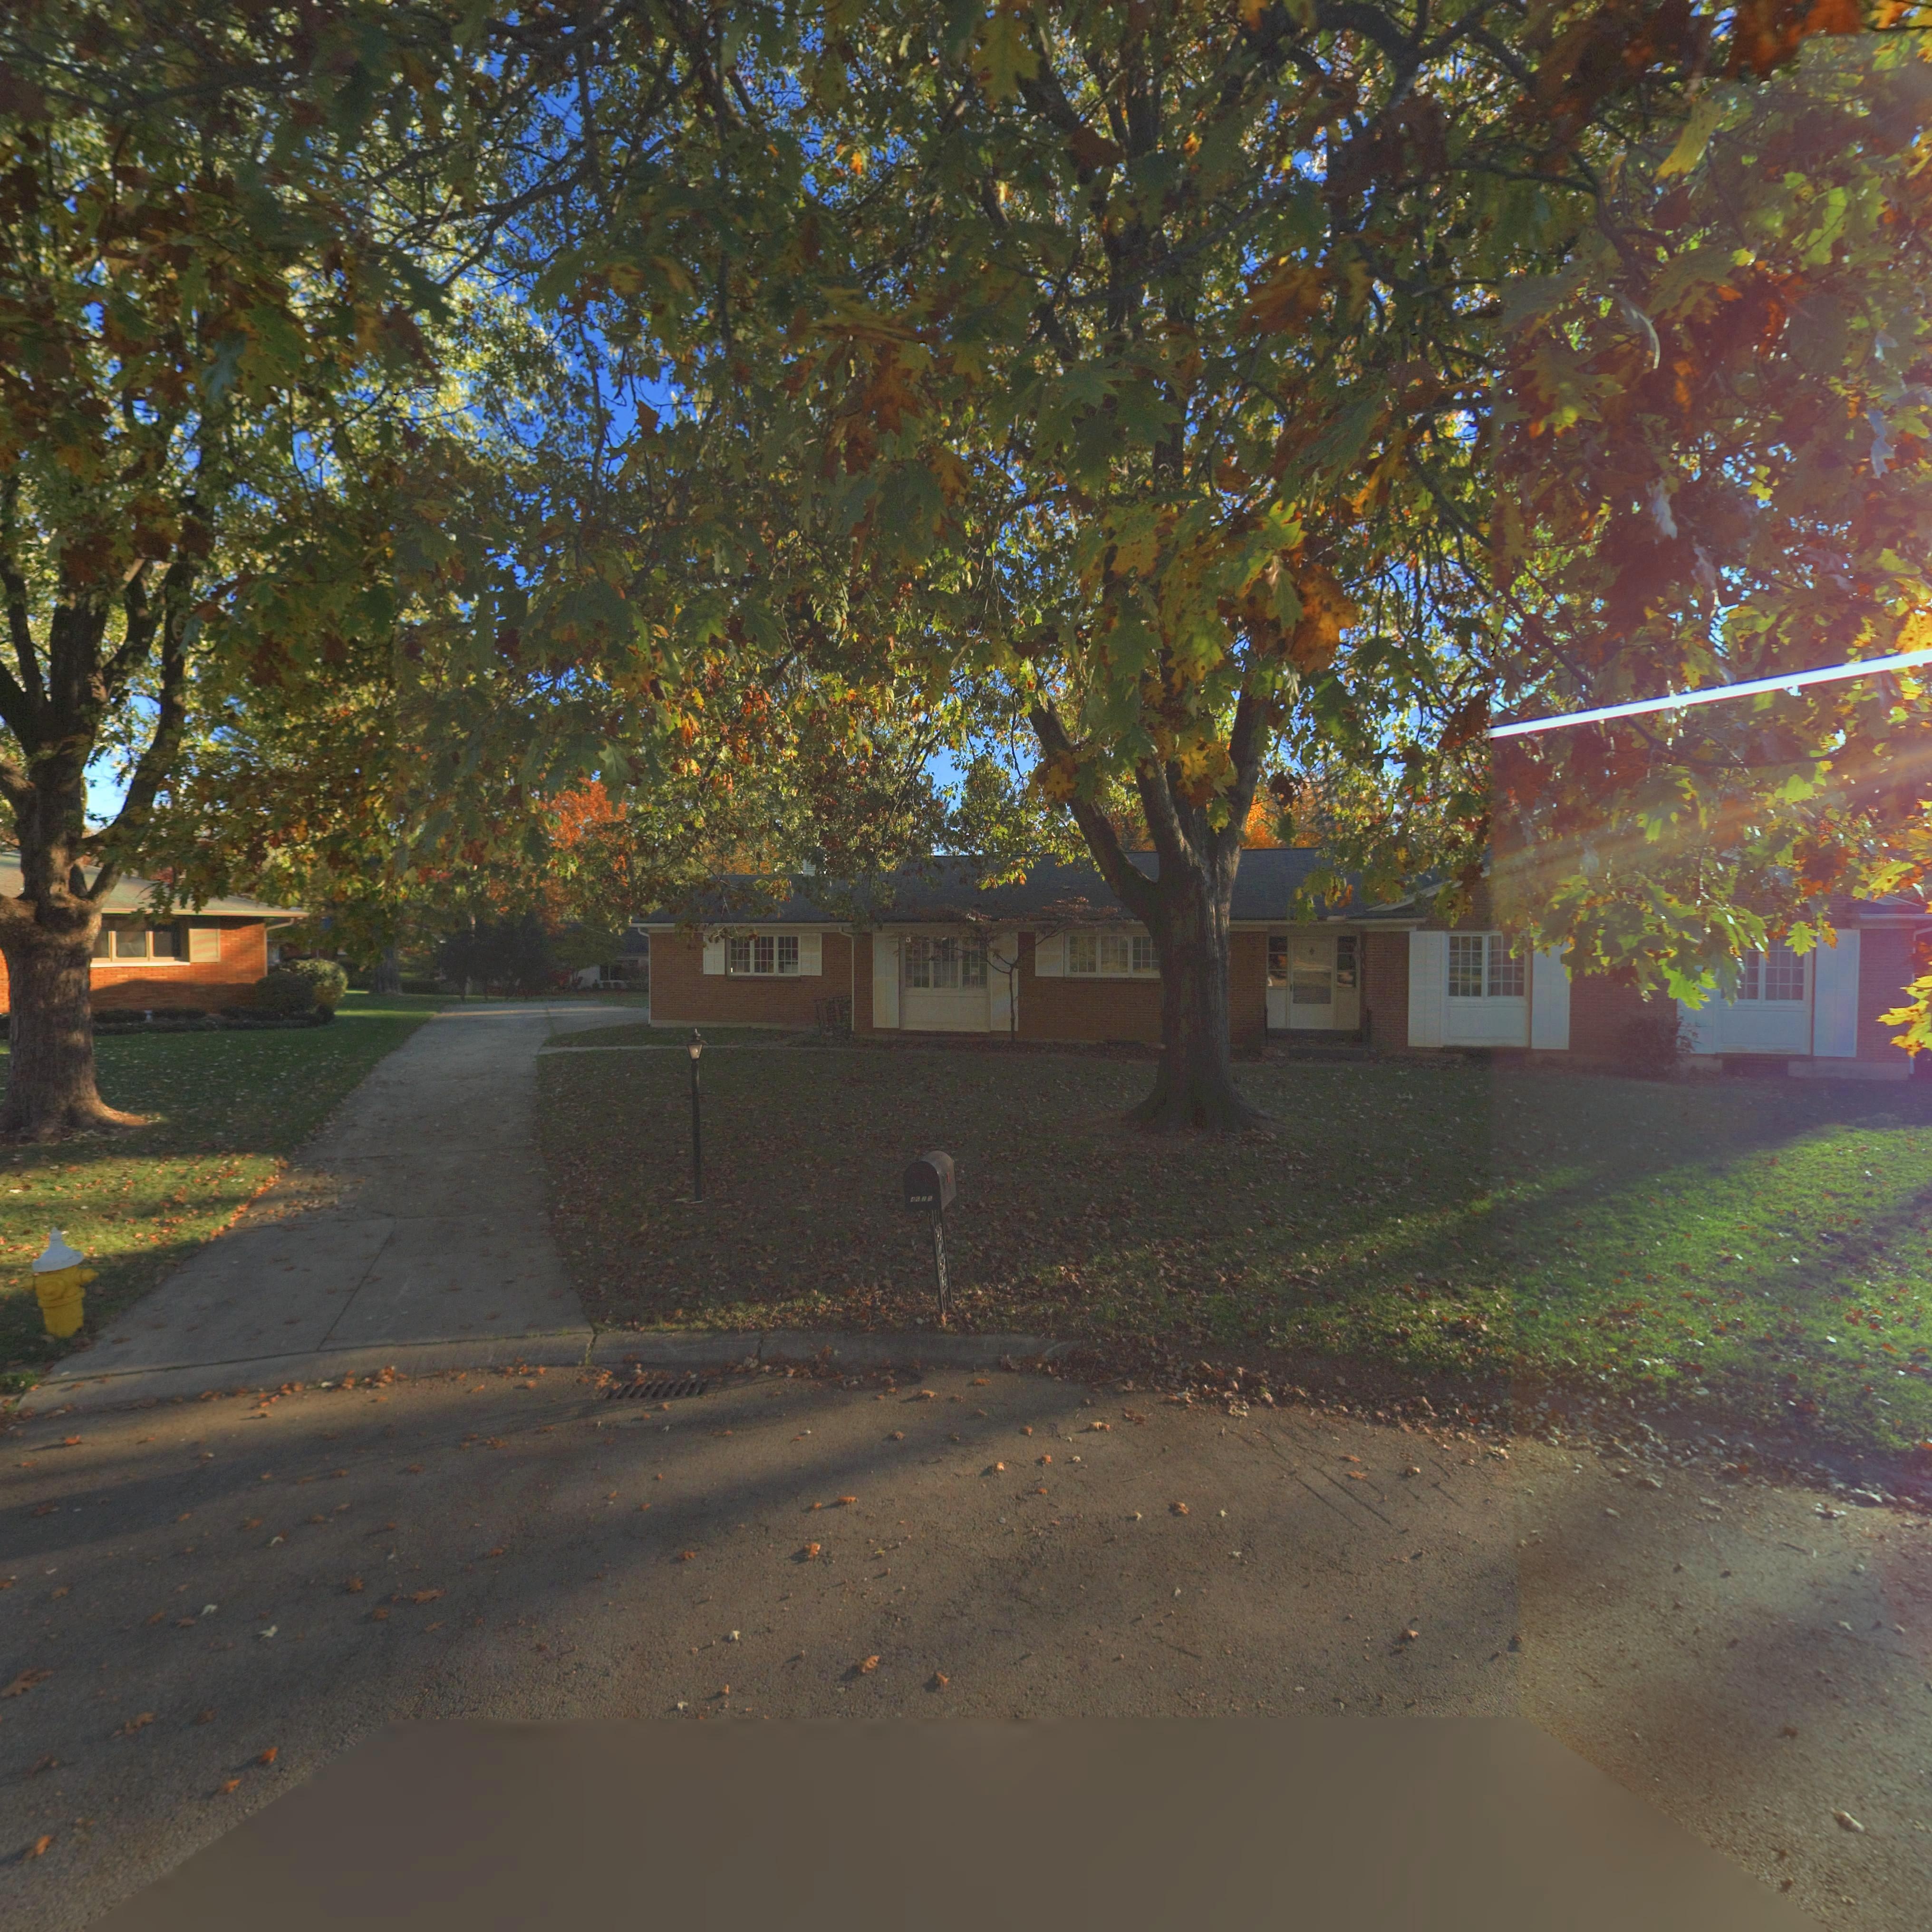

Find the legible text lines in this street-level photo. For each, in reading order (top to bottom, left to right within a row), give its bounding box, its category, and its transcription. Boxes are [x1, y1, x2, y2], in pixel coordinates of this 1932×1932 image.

[910, 1196, 933, 1203] StreetNumber: 46**